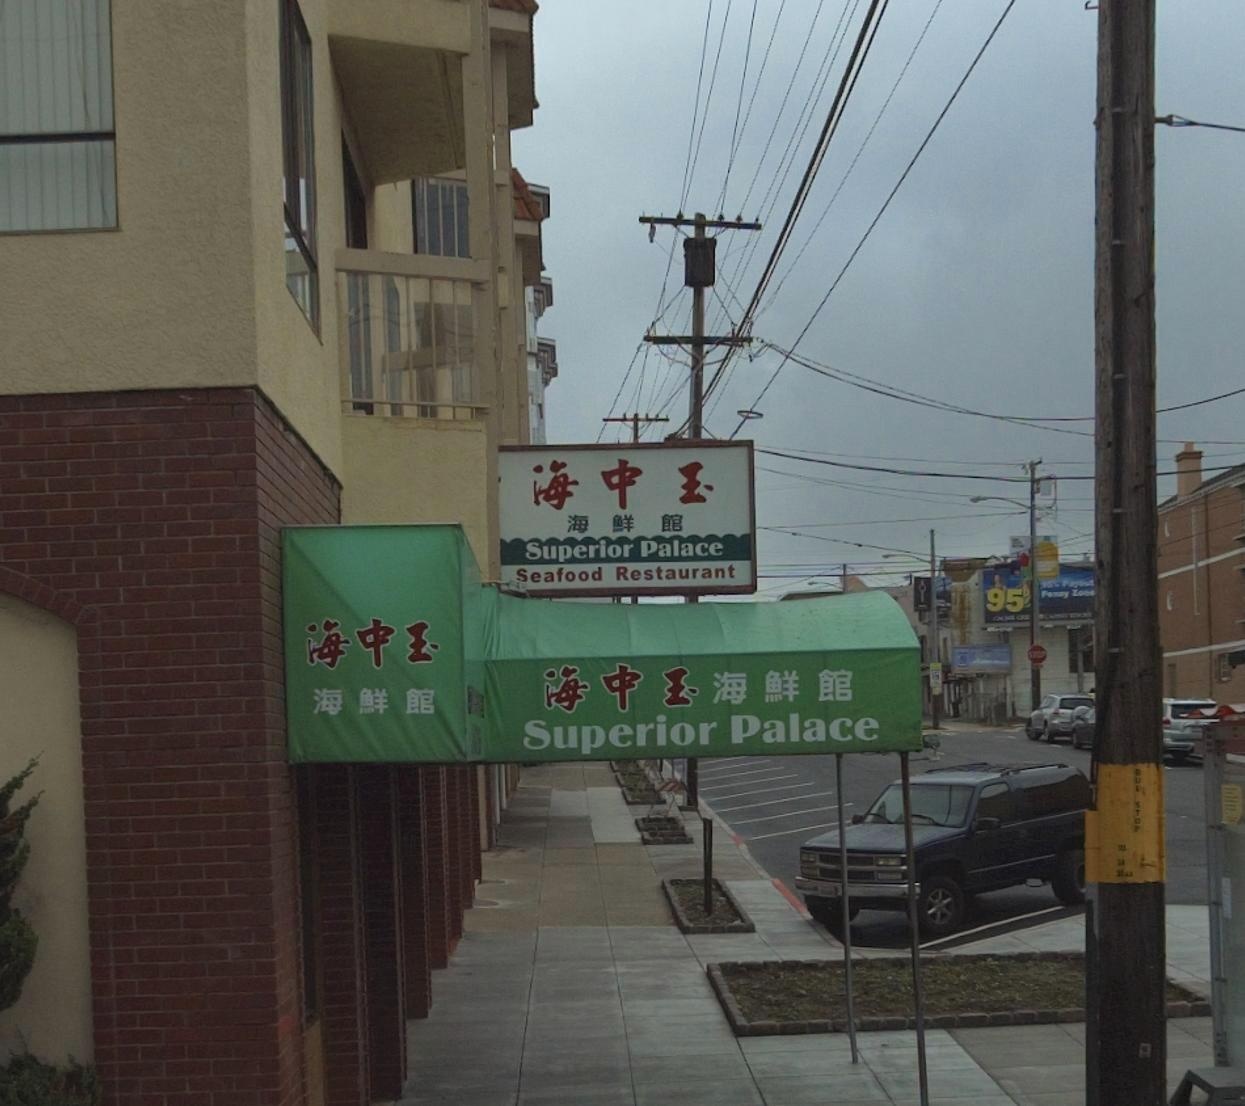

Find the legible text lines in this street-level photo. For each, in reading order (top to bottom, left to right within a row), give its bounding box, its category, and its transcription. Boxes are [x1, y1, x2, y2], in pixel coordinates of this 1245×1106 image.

[525, 536, 726, 563] BusinessName: Superior Palace
[516, 562, 737, 585] None: Seafood Restaurant
[984, 587, 1027, 614] None: 95
[1026, 649, 1047, 661] None: STOP
[518, 708, 884, 760] BusinessName: Superior Palace
[1133, 764, 1144, 836] None: BUS STOP